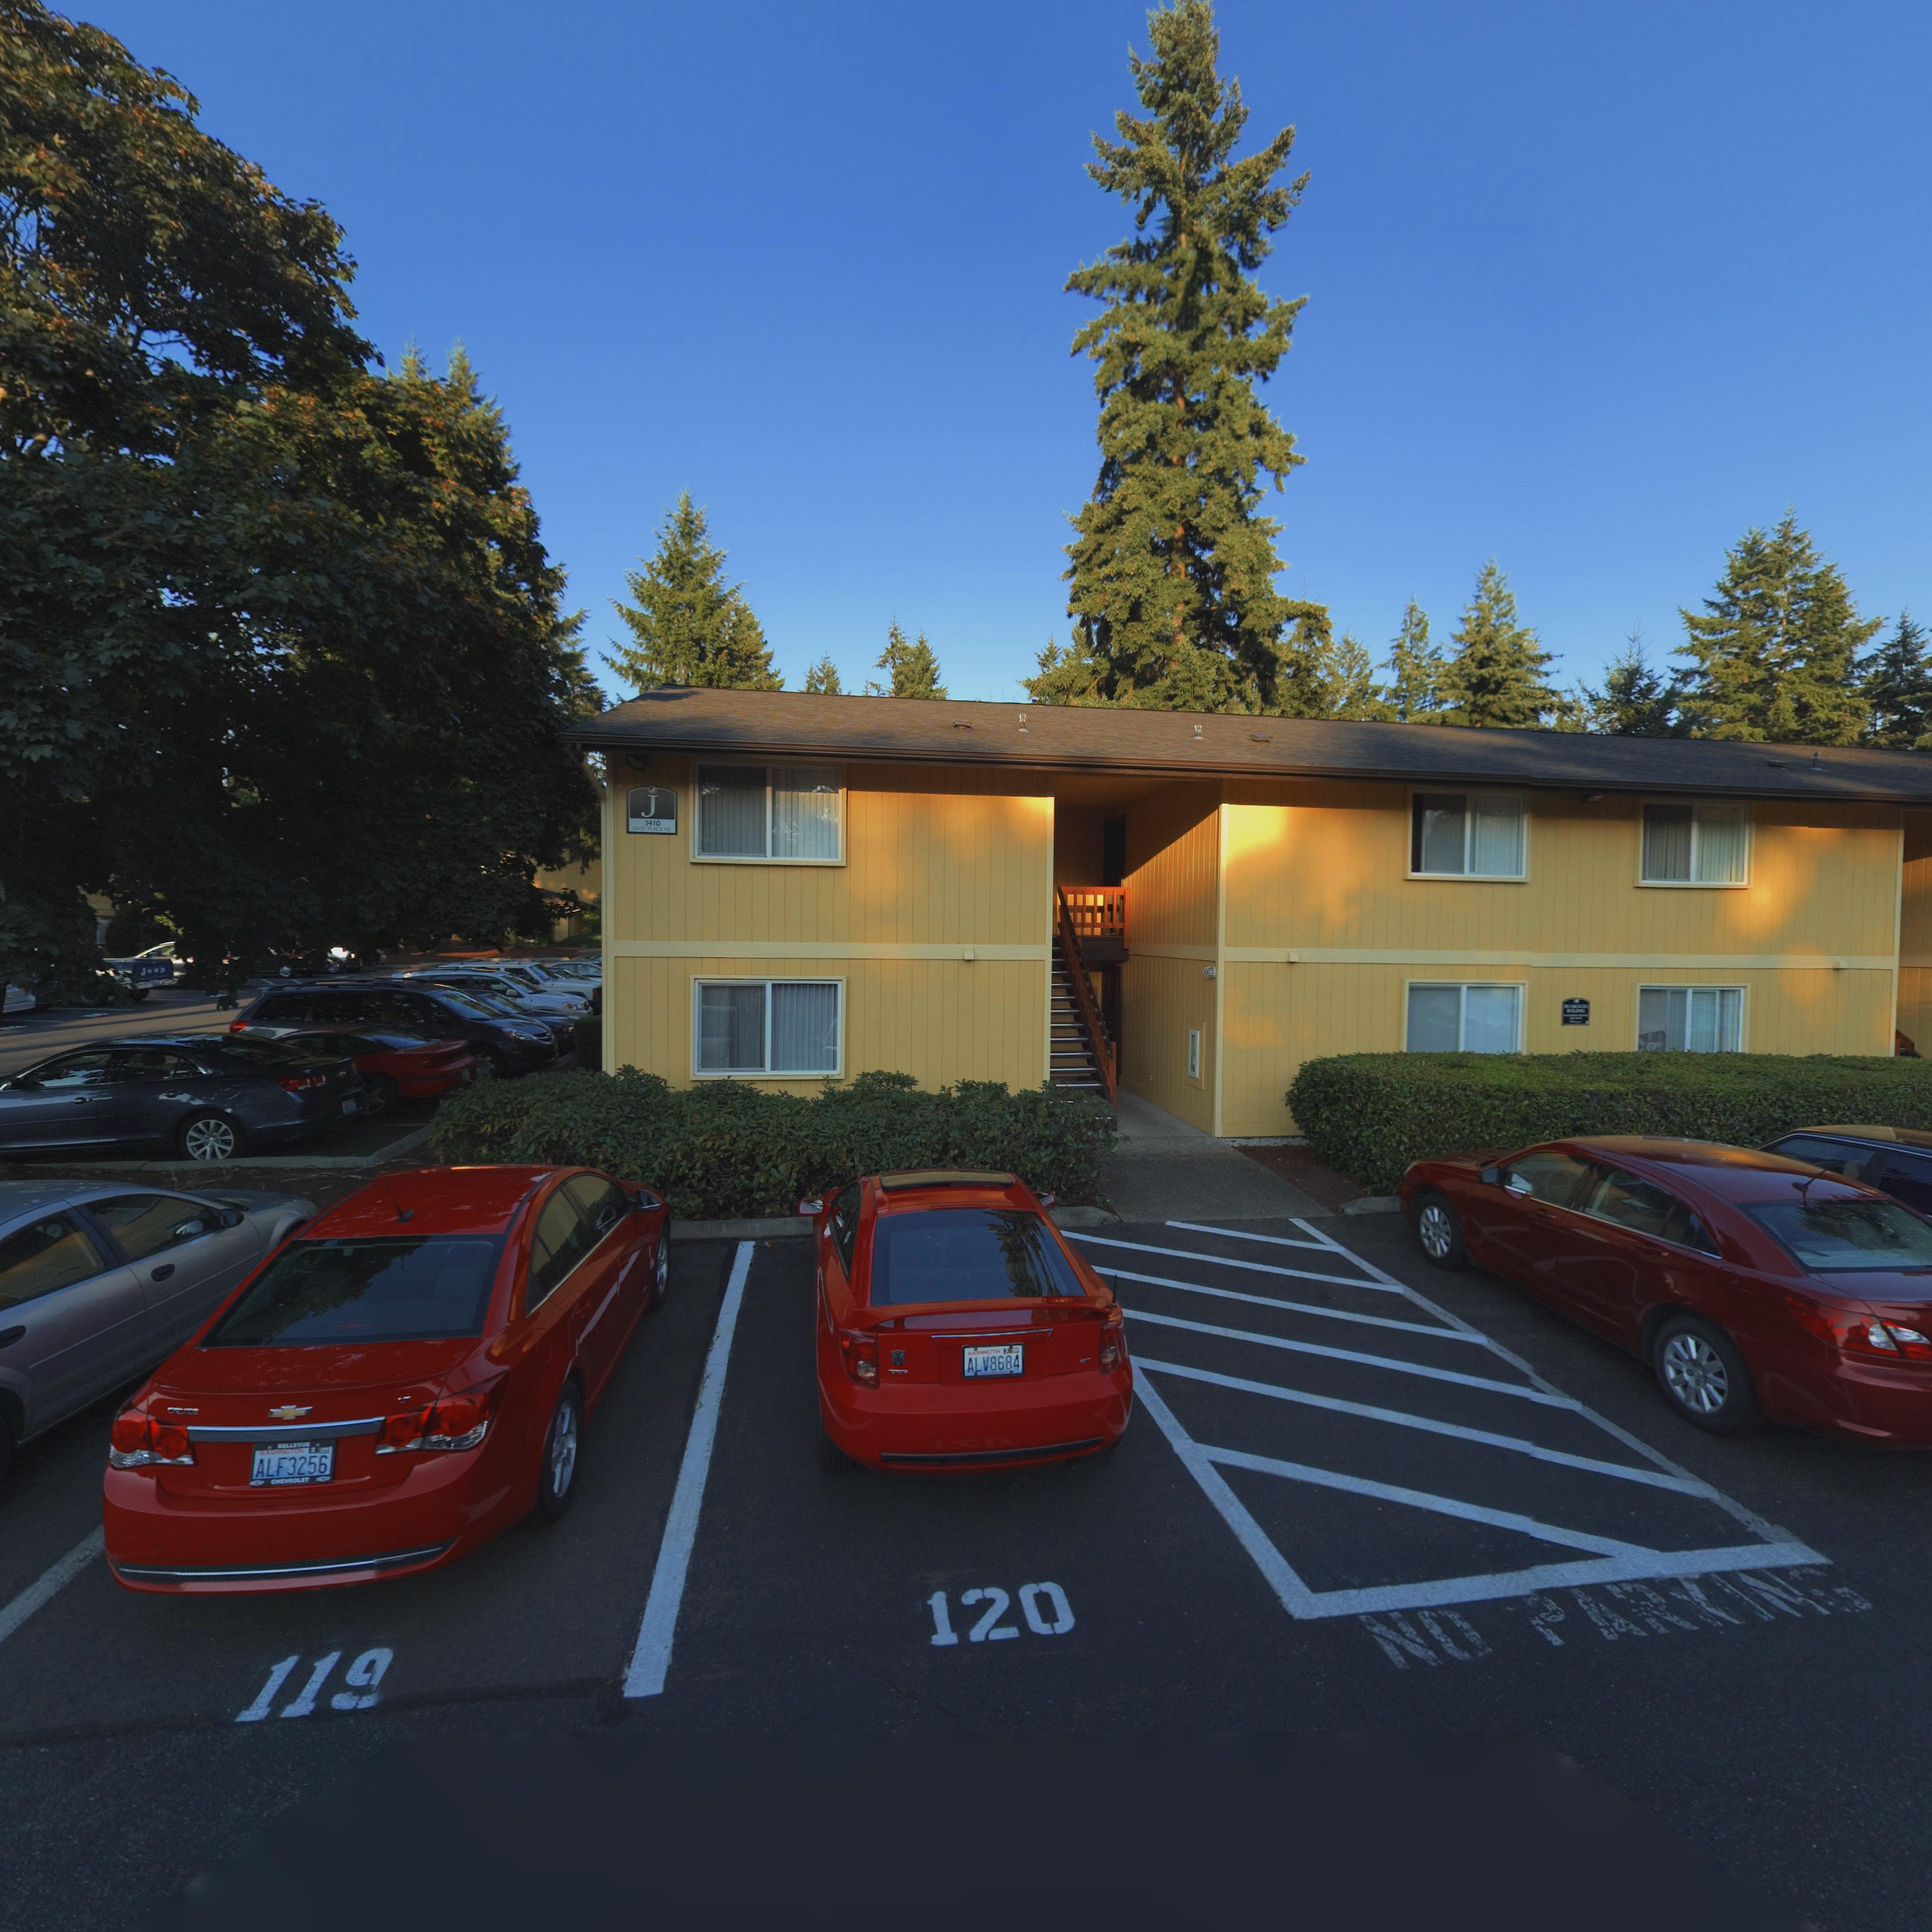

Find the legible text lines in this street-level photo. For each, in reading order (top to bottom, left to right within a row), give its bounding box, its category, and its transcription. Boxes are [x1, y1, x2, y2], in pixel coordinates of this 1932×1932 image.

[639, 794, 659, 818] SecondaryUnitDesignator: J
[645, 820, 661, 826] StreetNumber: 1410
[632, 825, 672, 831] StreetName: 161ST PLACE NE